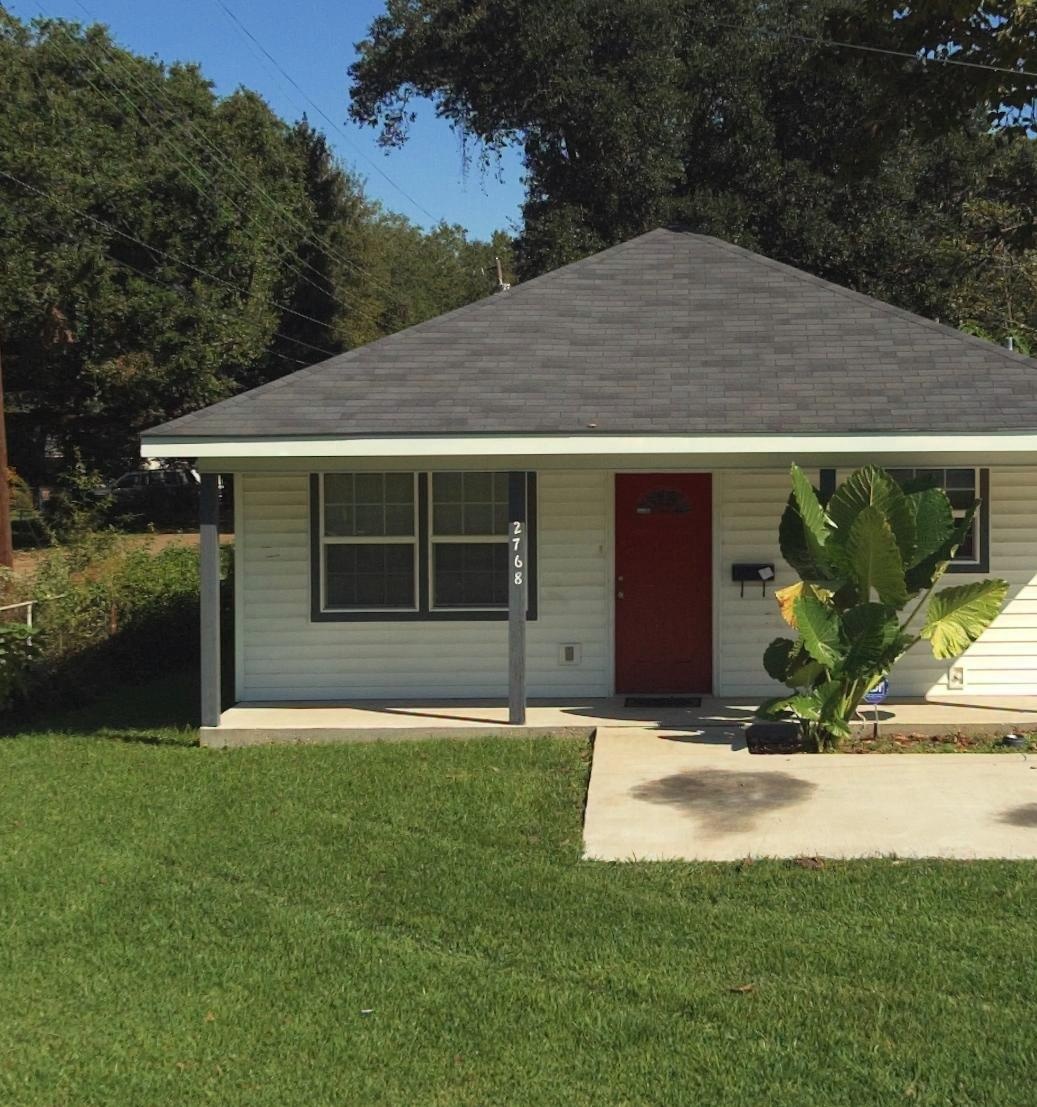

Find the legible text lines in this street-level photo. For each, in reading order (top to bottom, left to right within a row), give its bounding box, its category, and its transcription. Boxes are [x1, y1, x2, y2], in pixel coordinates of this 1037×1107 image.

[511, 519, 523, 586] StreetNumber: 2768